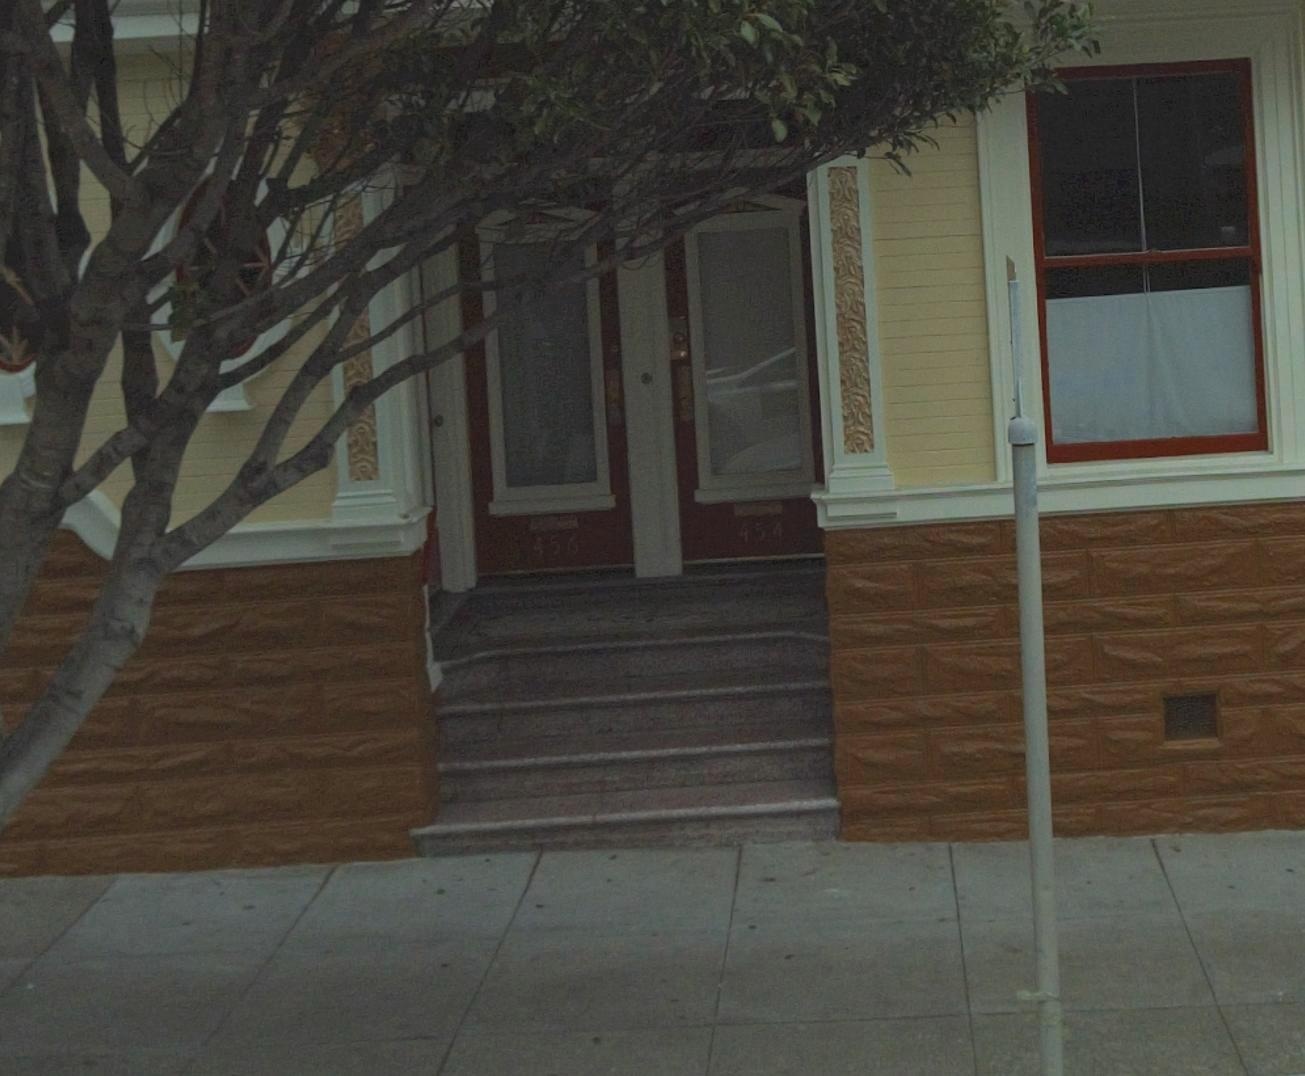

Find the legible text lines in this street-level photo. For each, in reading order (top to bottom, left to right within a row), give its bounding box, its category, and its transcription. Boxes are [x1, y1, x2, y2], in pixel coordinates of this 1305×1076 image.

[738, 519, 784, 544] StreetNumber: 454
[531, 532, 581, 558] StreetNumber: 456